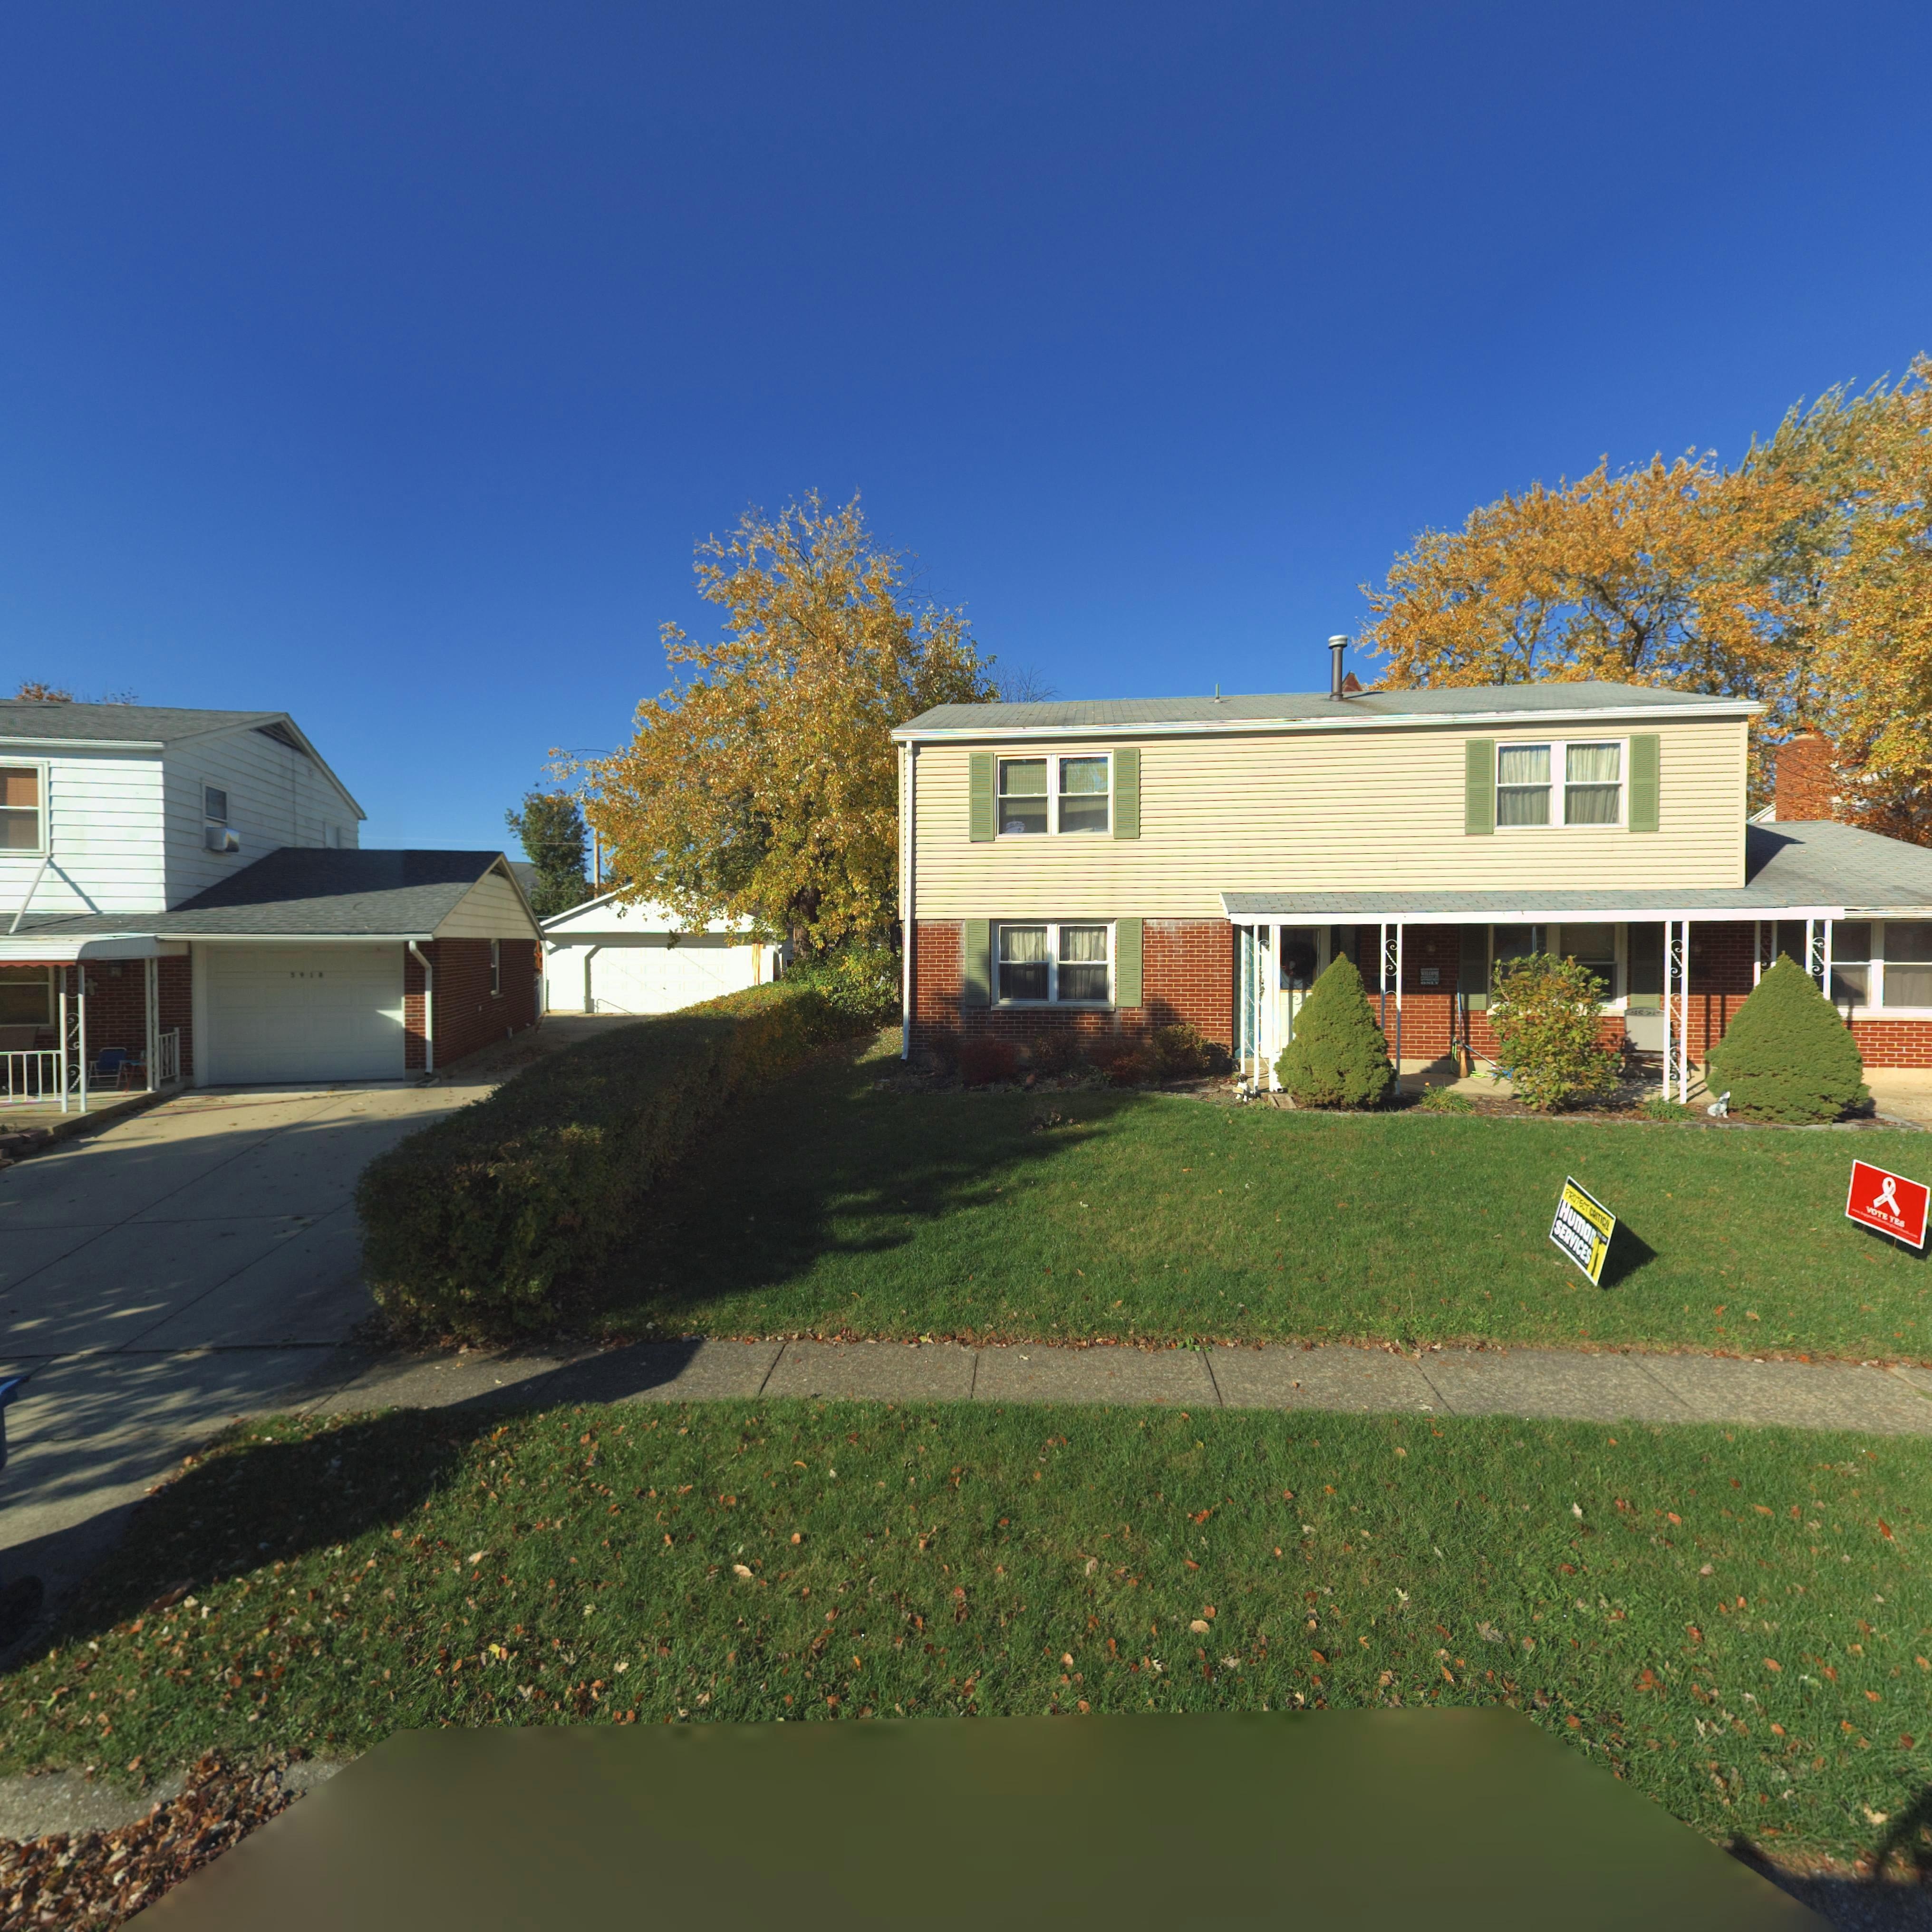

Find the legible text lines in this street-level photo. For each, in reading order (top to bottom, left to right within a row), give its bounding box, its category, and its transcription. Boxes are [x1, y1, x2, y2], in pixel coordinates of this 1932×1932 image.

[289, 971, 324, 979] StreetNumber: 59**